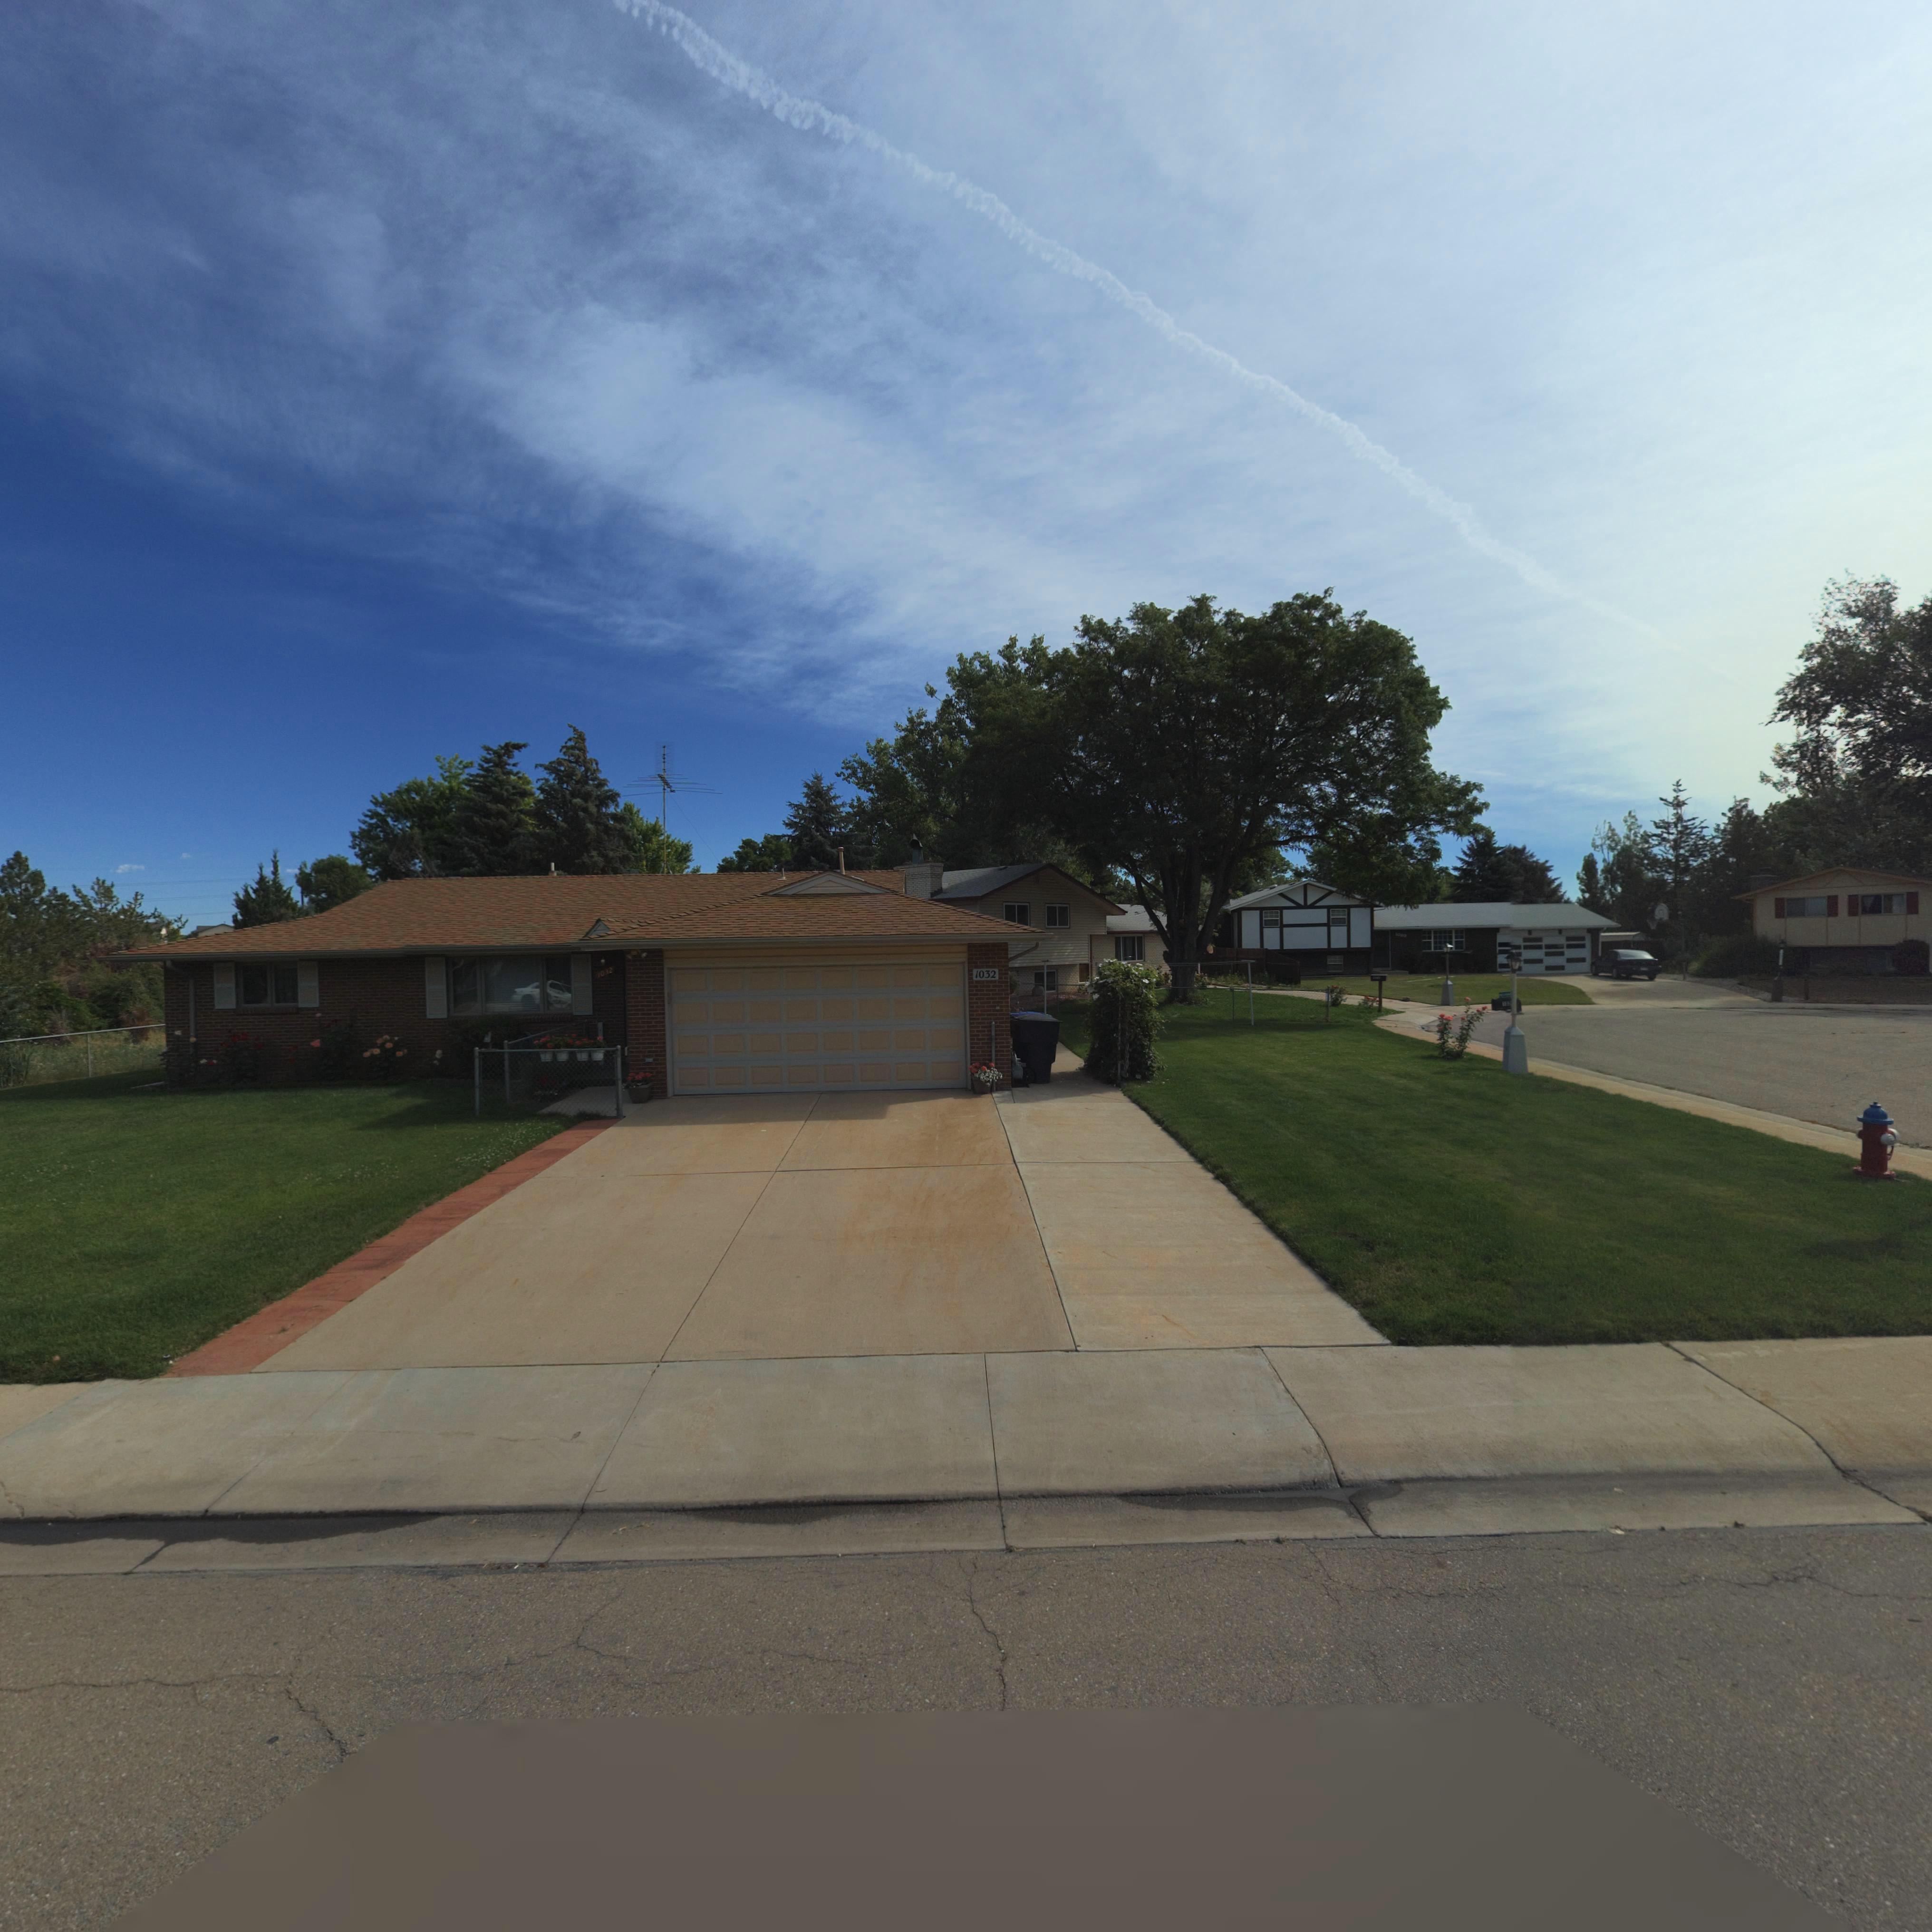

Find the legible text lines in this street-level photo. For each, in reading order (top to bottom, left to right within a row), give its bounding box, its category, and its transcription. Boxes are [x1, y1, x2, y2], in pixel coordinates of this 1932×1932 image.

[1394, 932, 1407, 937] StreetNumber: 1020
[597, 967, 613, 978] StreetNumber: 1032
[975, 969, 996, 978] StreetNumber: 1032
[1372, 976, 1381, 979] StreetNumber: 10**
[1501, 1000, 1512, 1006] StreetNumber: 10*